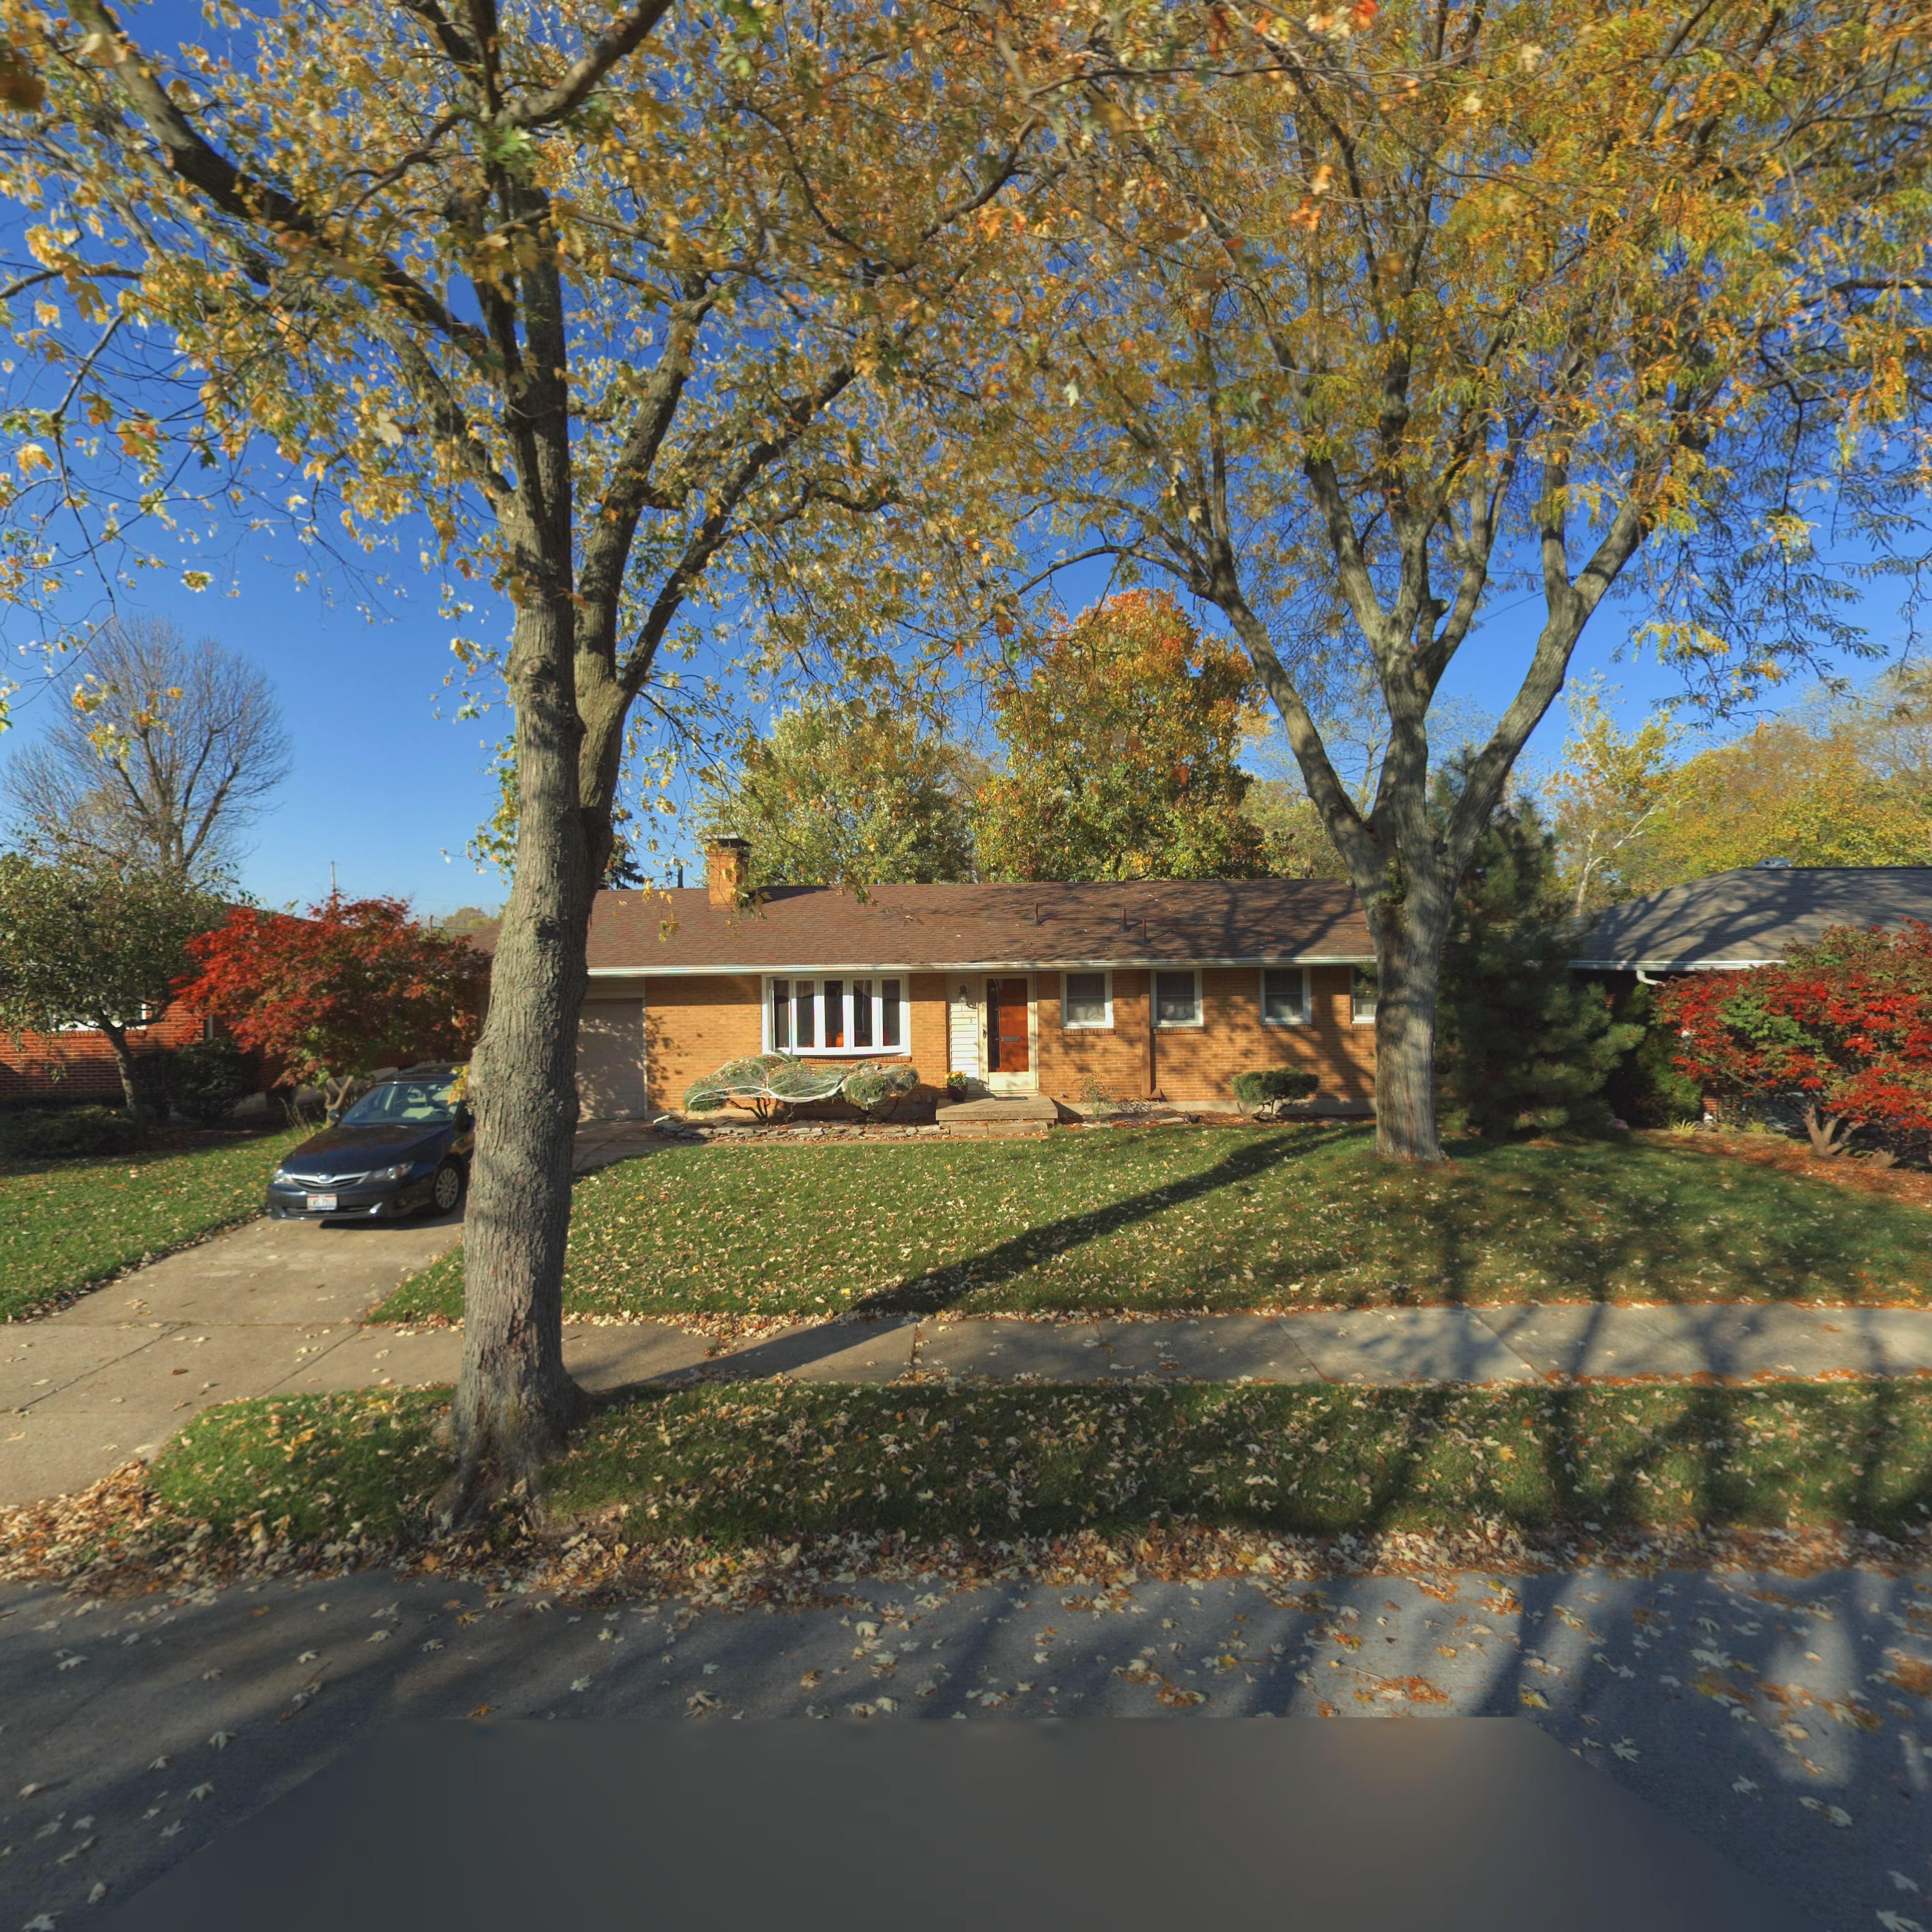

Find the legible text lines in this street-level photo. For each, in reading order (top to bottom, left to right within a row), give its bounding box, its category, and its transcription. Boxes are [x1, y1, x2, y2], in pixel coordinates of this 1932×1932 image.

[960, 1005, 969, 1011] StreetNumber: 19